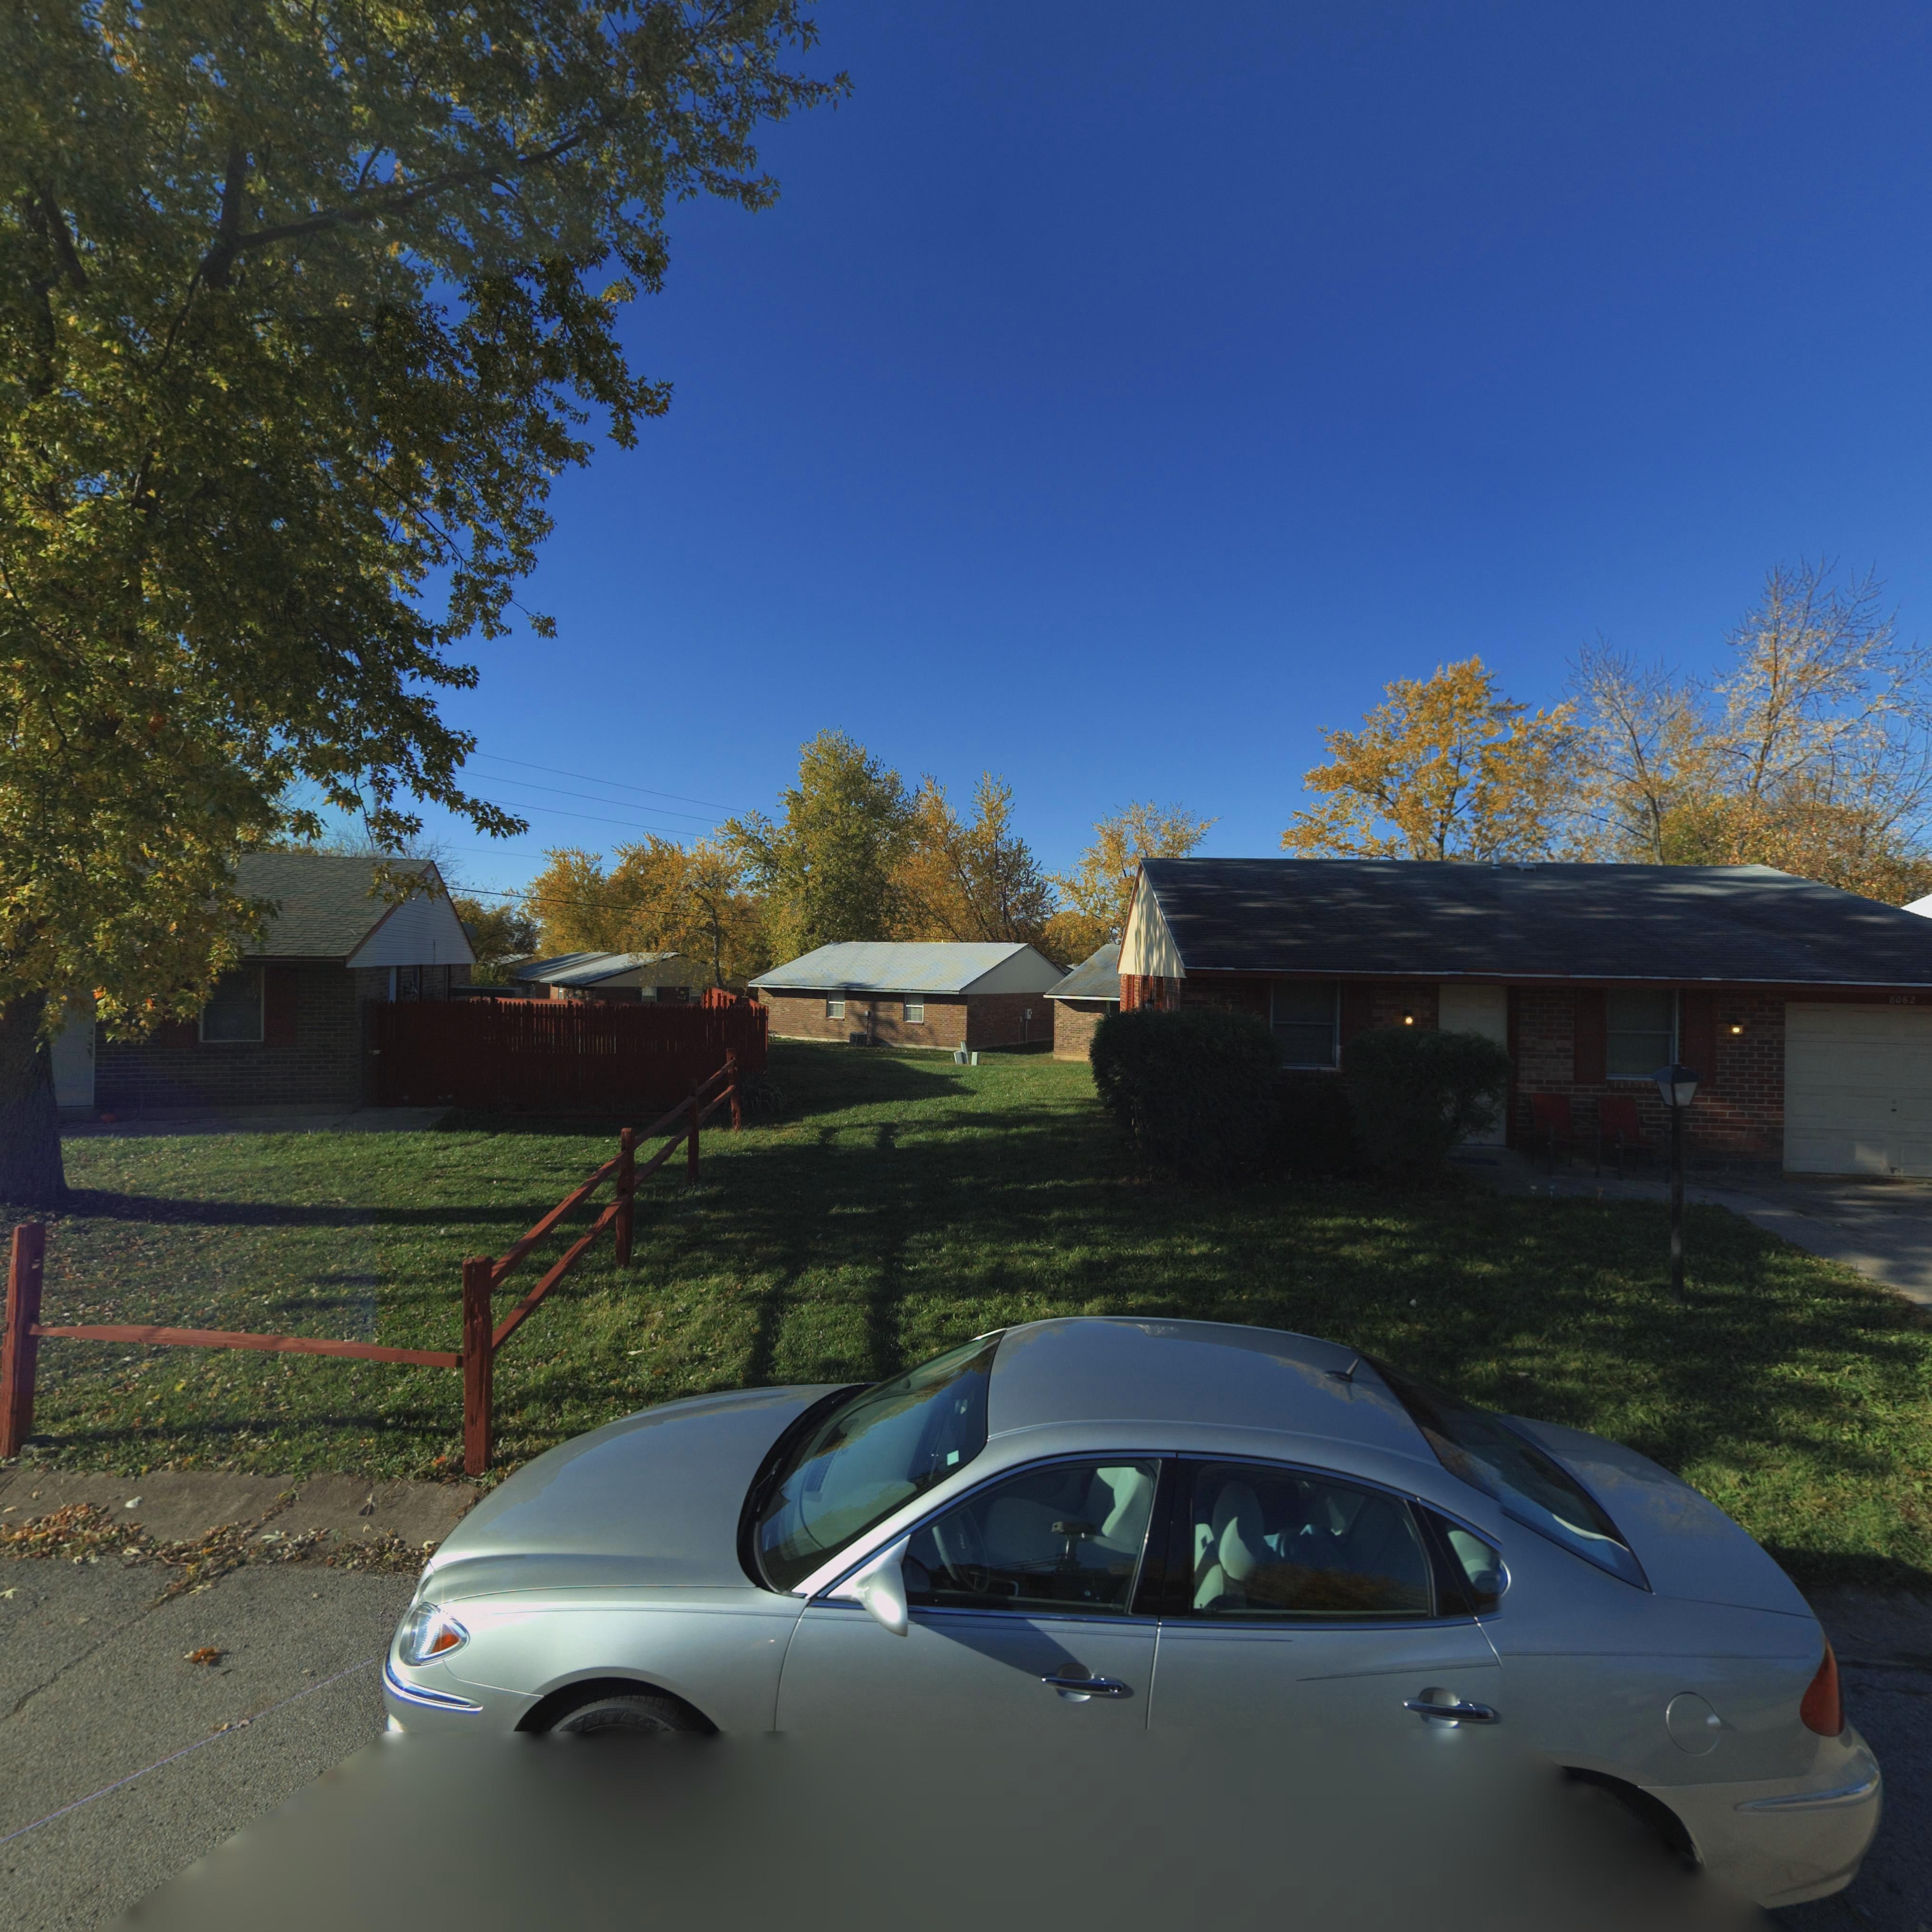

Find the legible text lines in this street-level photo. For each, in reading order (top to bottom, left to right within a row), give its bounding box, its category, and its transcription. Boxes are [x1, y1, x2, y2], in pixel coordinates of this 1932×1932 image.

[1888, 995, 1917, 1005] StreetNumber: 8062